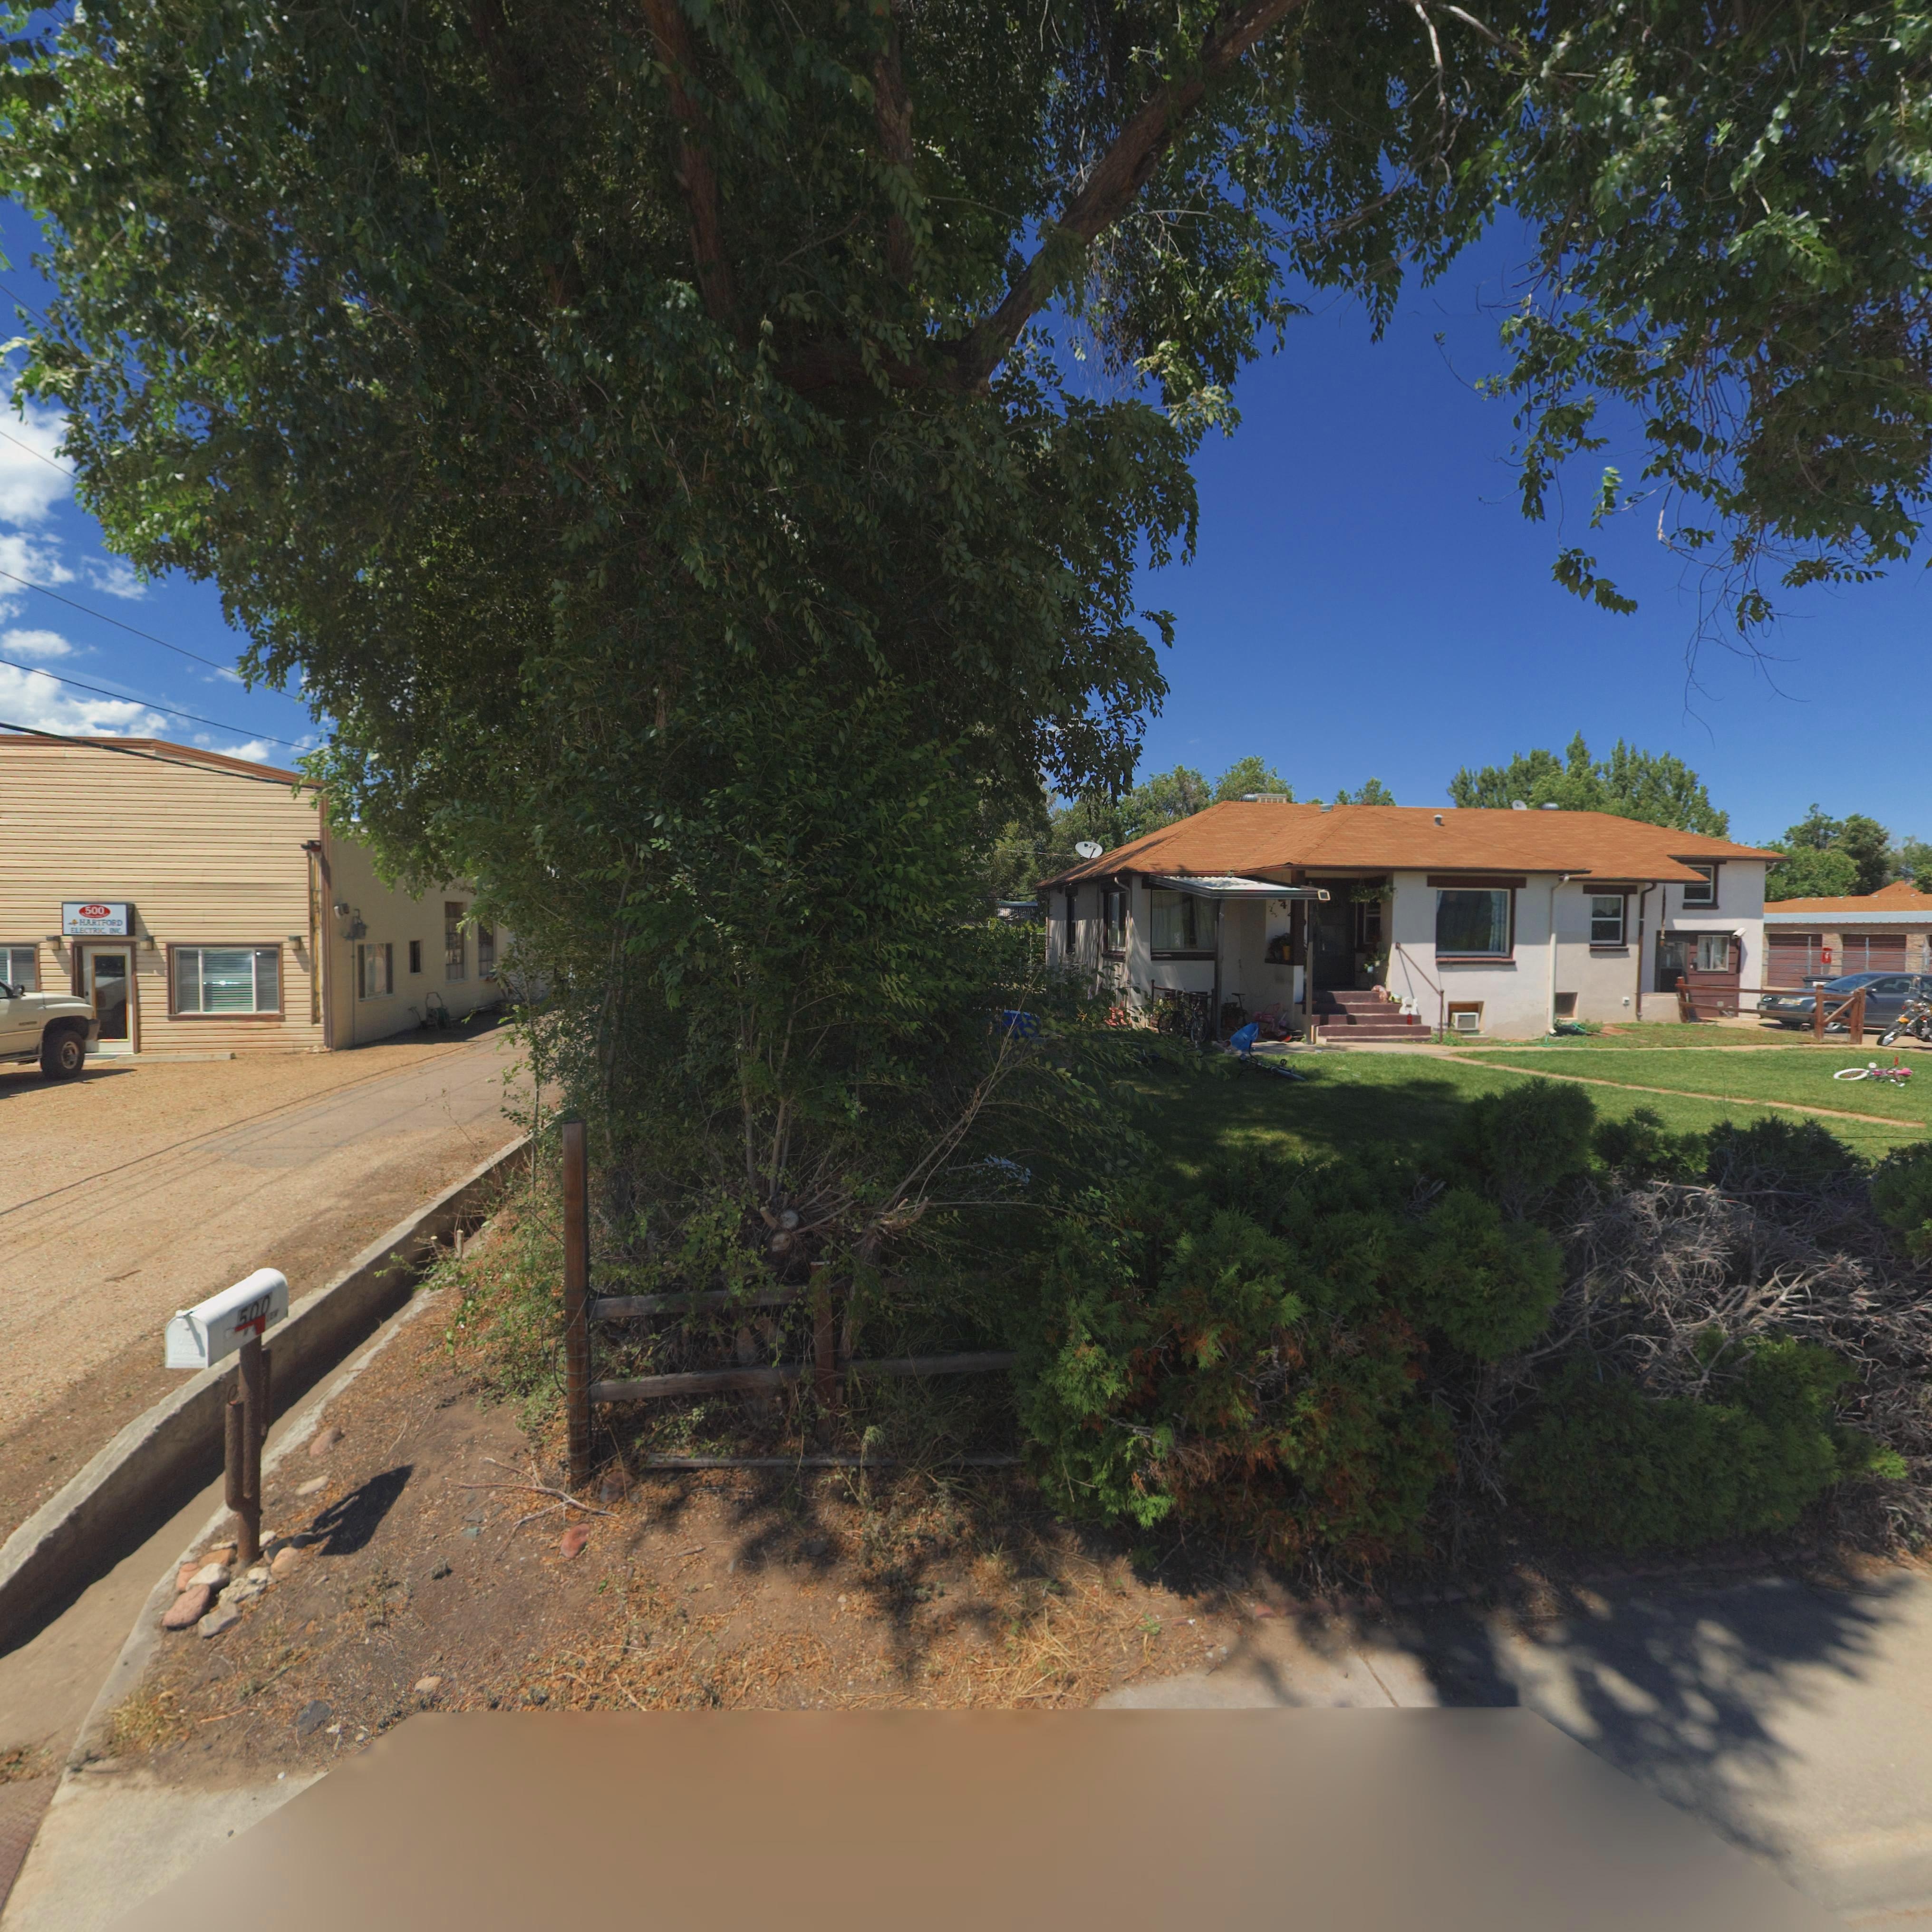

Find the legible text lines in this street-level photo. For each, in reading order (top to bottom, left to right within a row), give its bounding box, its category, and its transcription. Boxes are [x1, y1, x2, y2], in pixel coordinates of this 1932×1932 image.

[84, 906, 104, 915] StreetNumber: 500
[1279, 900, 1306, 926] StreetNumber: 4**
[79, 919, 123, 926] BusinessName: HART*ORD
[70, 927, 123, 934] BusinessName: ELECTR*C **C
[238, 1294, 271, 1327] StreetNumber: 500